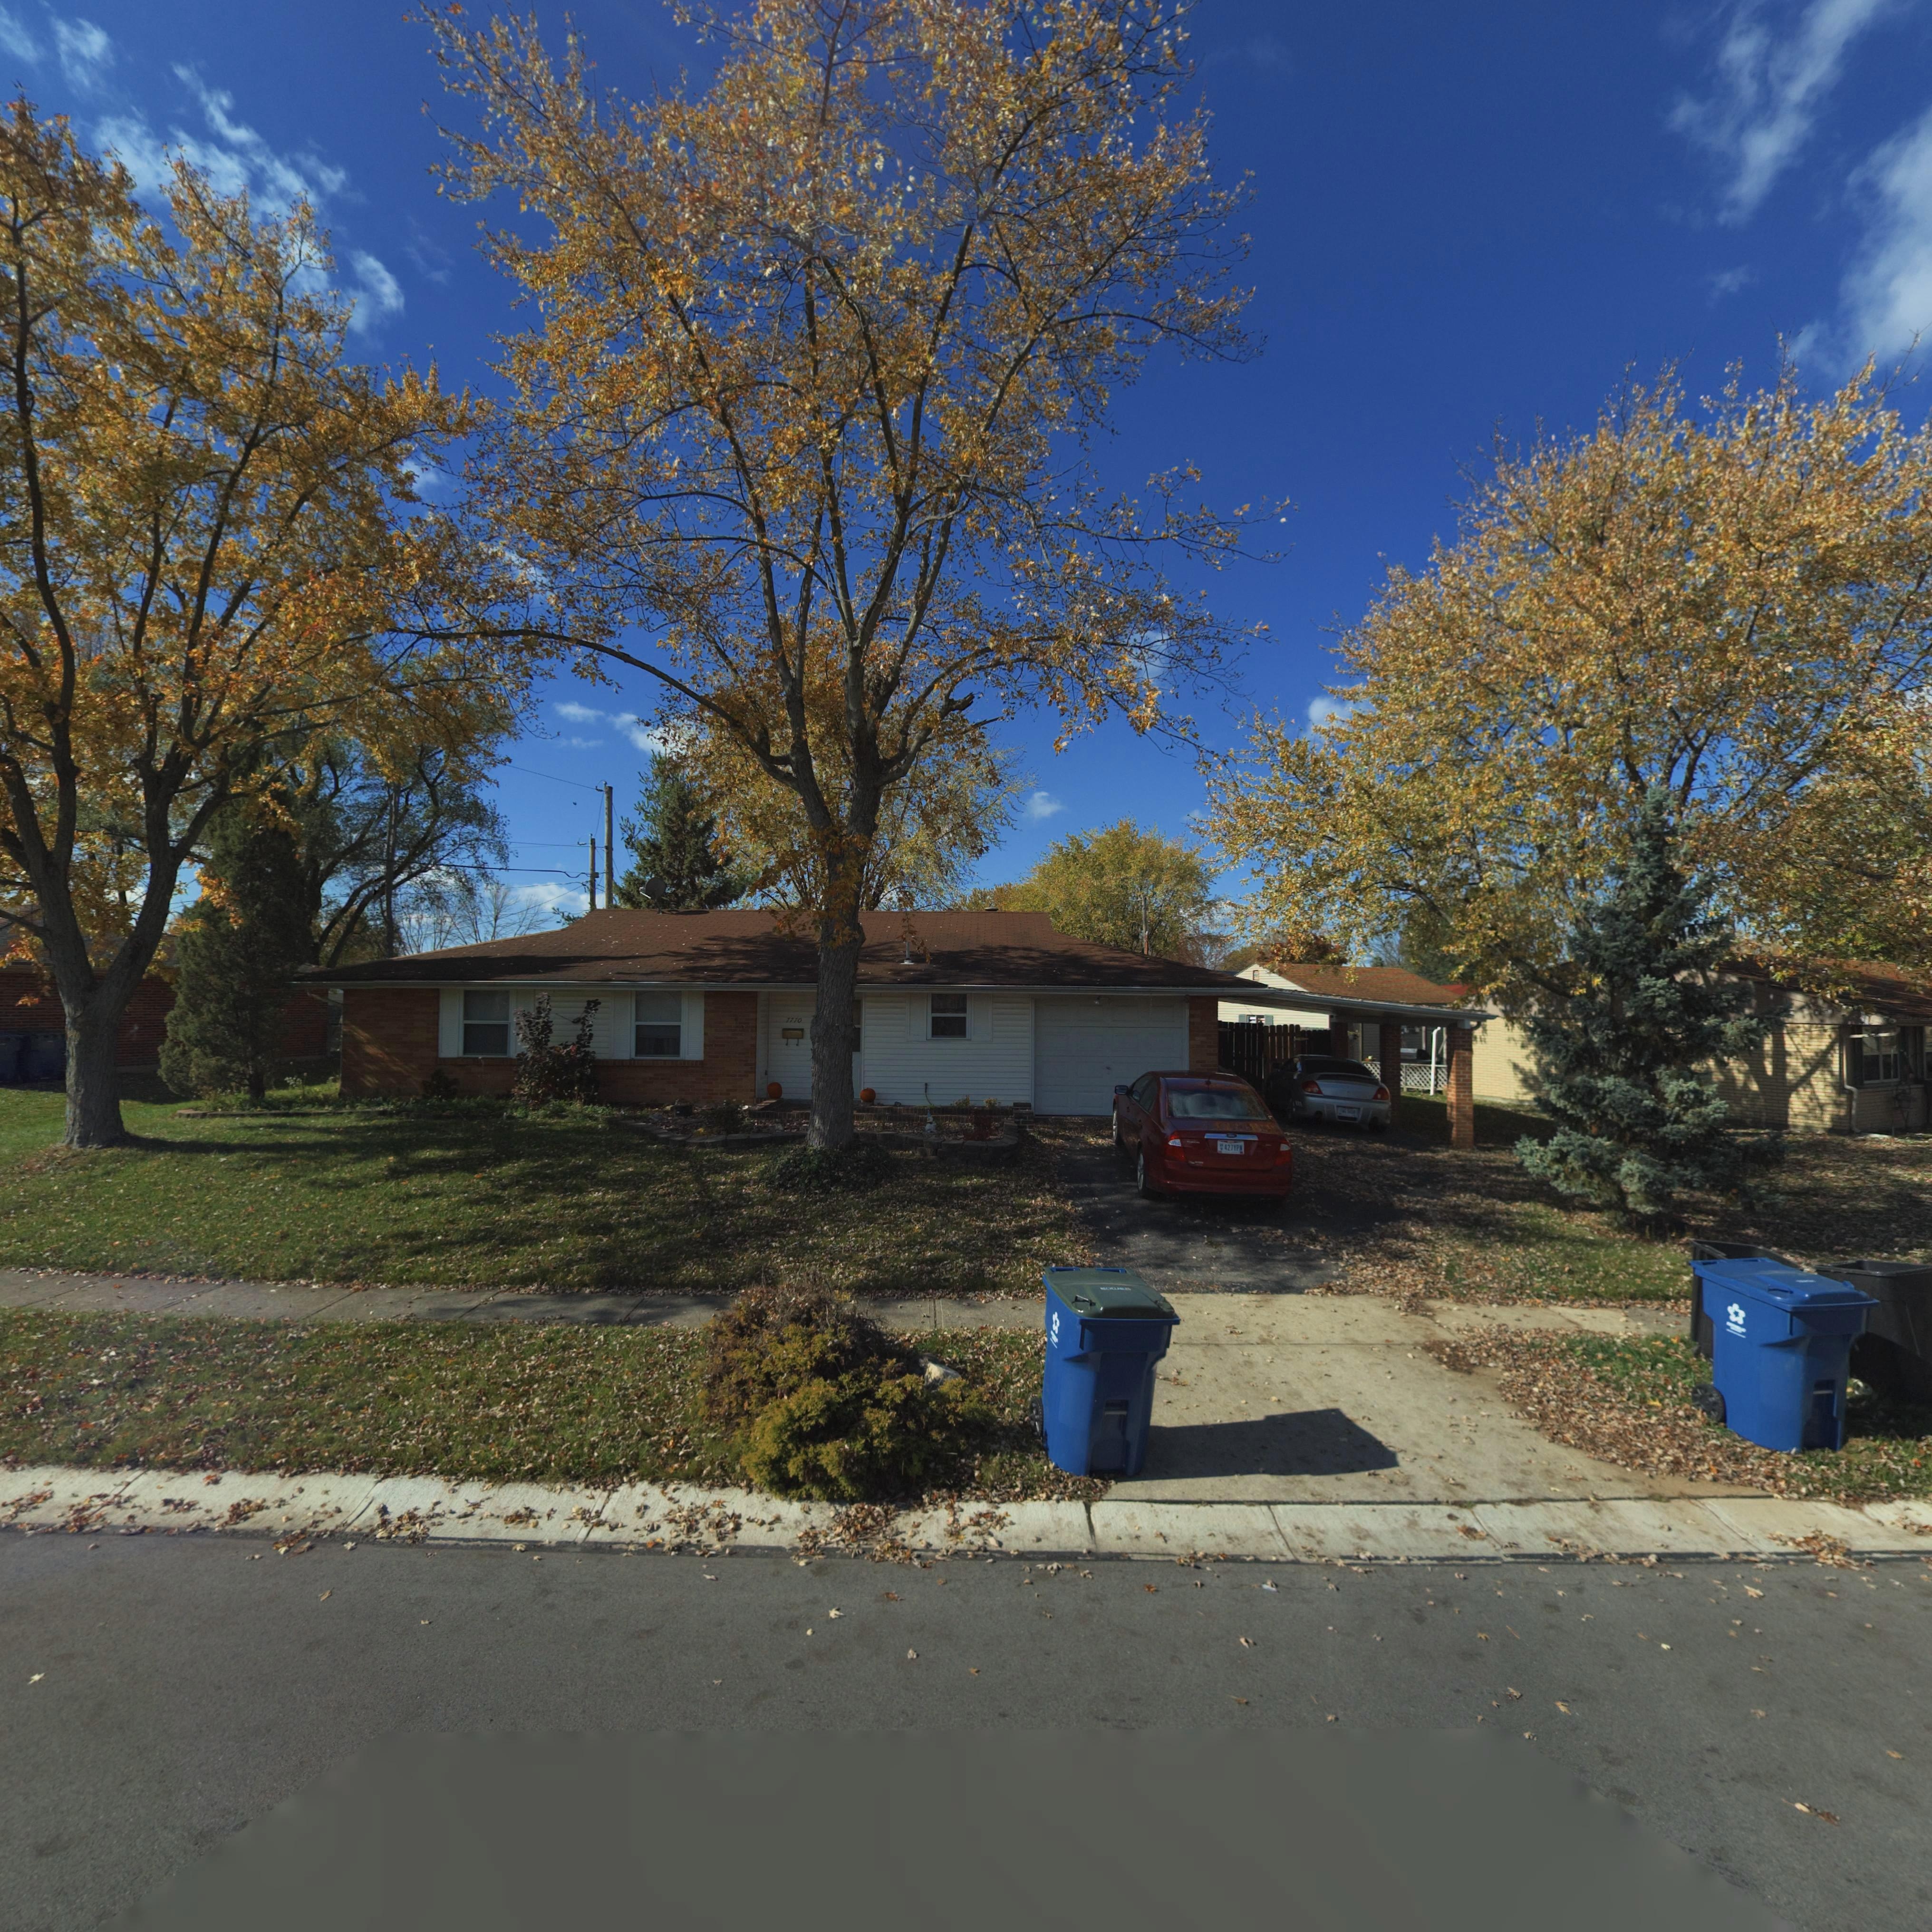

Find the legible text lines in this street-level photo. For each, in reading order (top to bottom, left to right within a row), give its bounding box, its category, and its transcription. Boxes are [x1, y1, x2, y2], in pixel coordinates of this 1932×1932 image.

[785, 1017, 803, 1024] StreetNumber: 7770